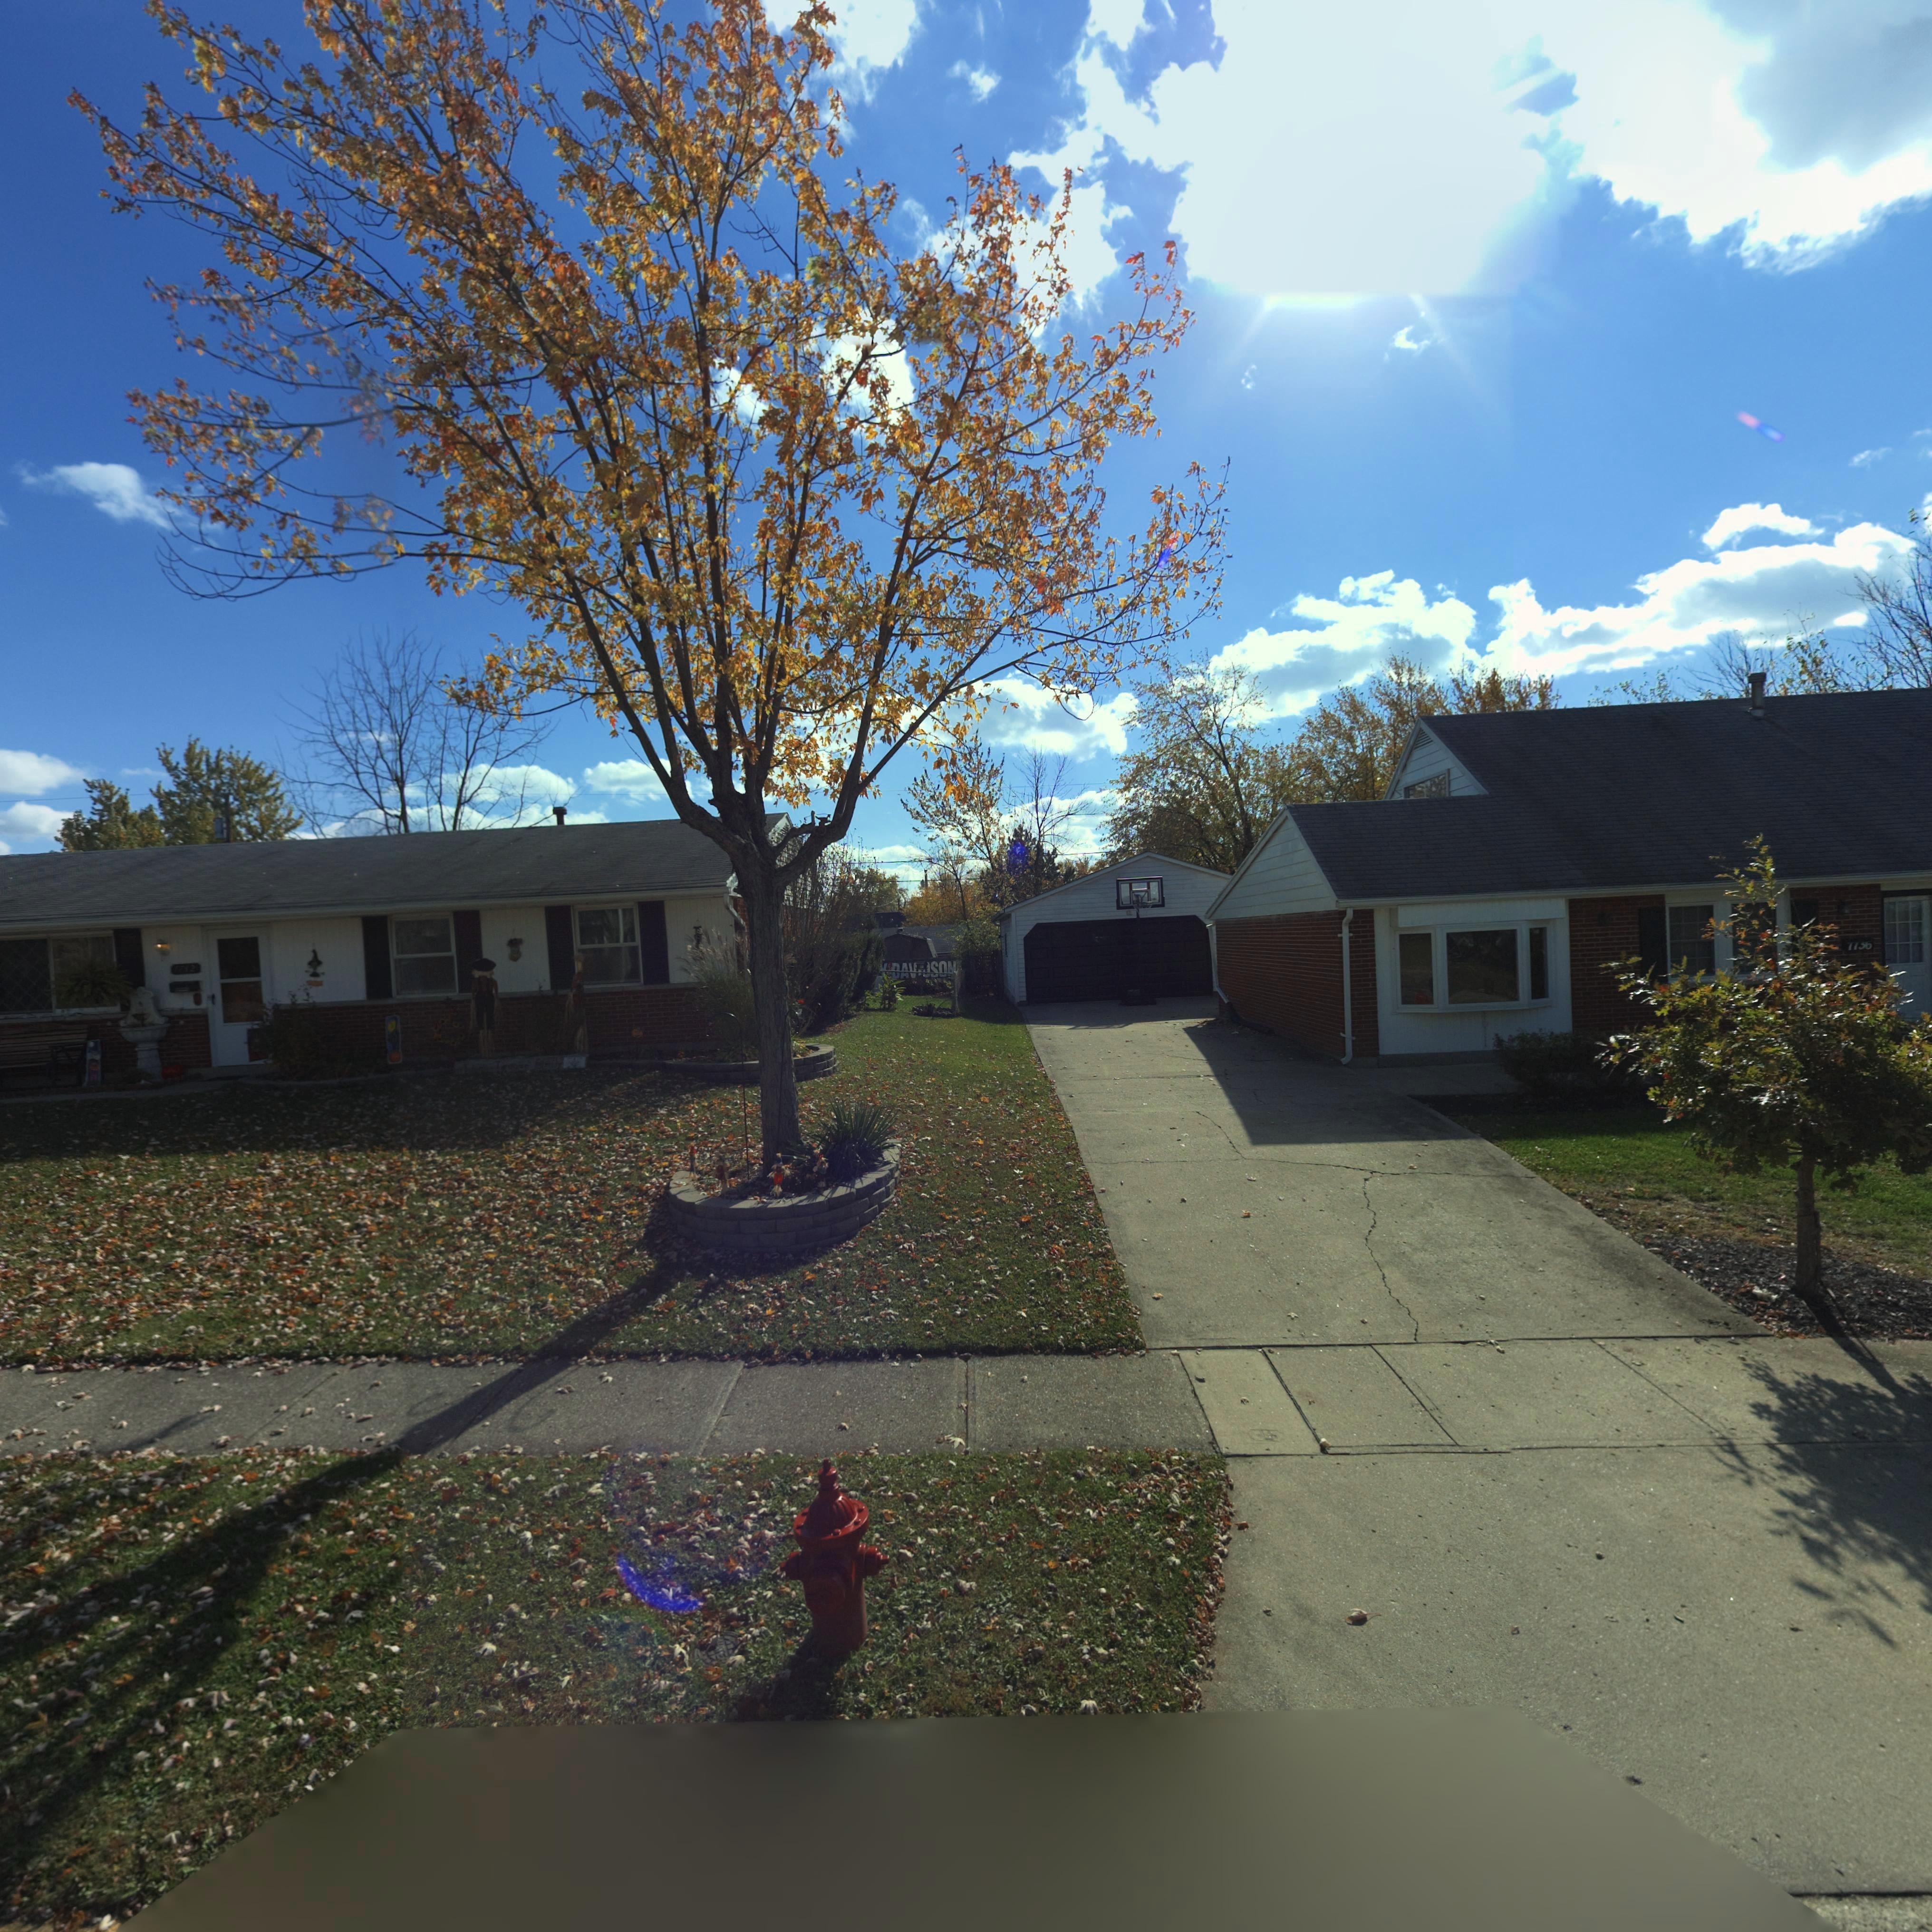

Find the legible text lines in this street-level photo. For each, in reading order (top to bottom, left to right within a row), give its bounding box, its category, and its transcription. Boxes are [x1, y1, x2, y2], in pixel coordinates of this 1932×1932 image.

[1845, 940, 1873, 951] StreetNumber: 7736
[173, 965, 196, 974] StreetNumber: 7742